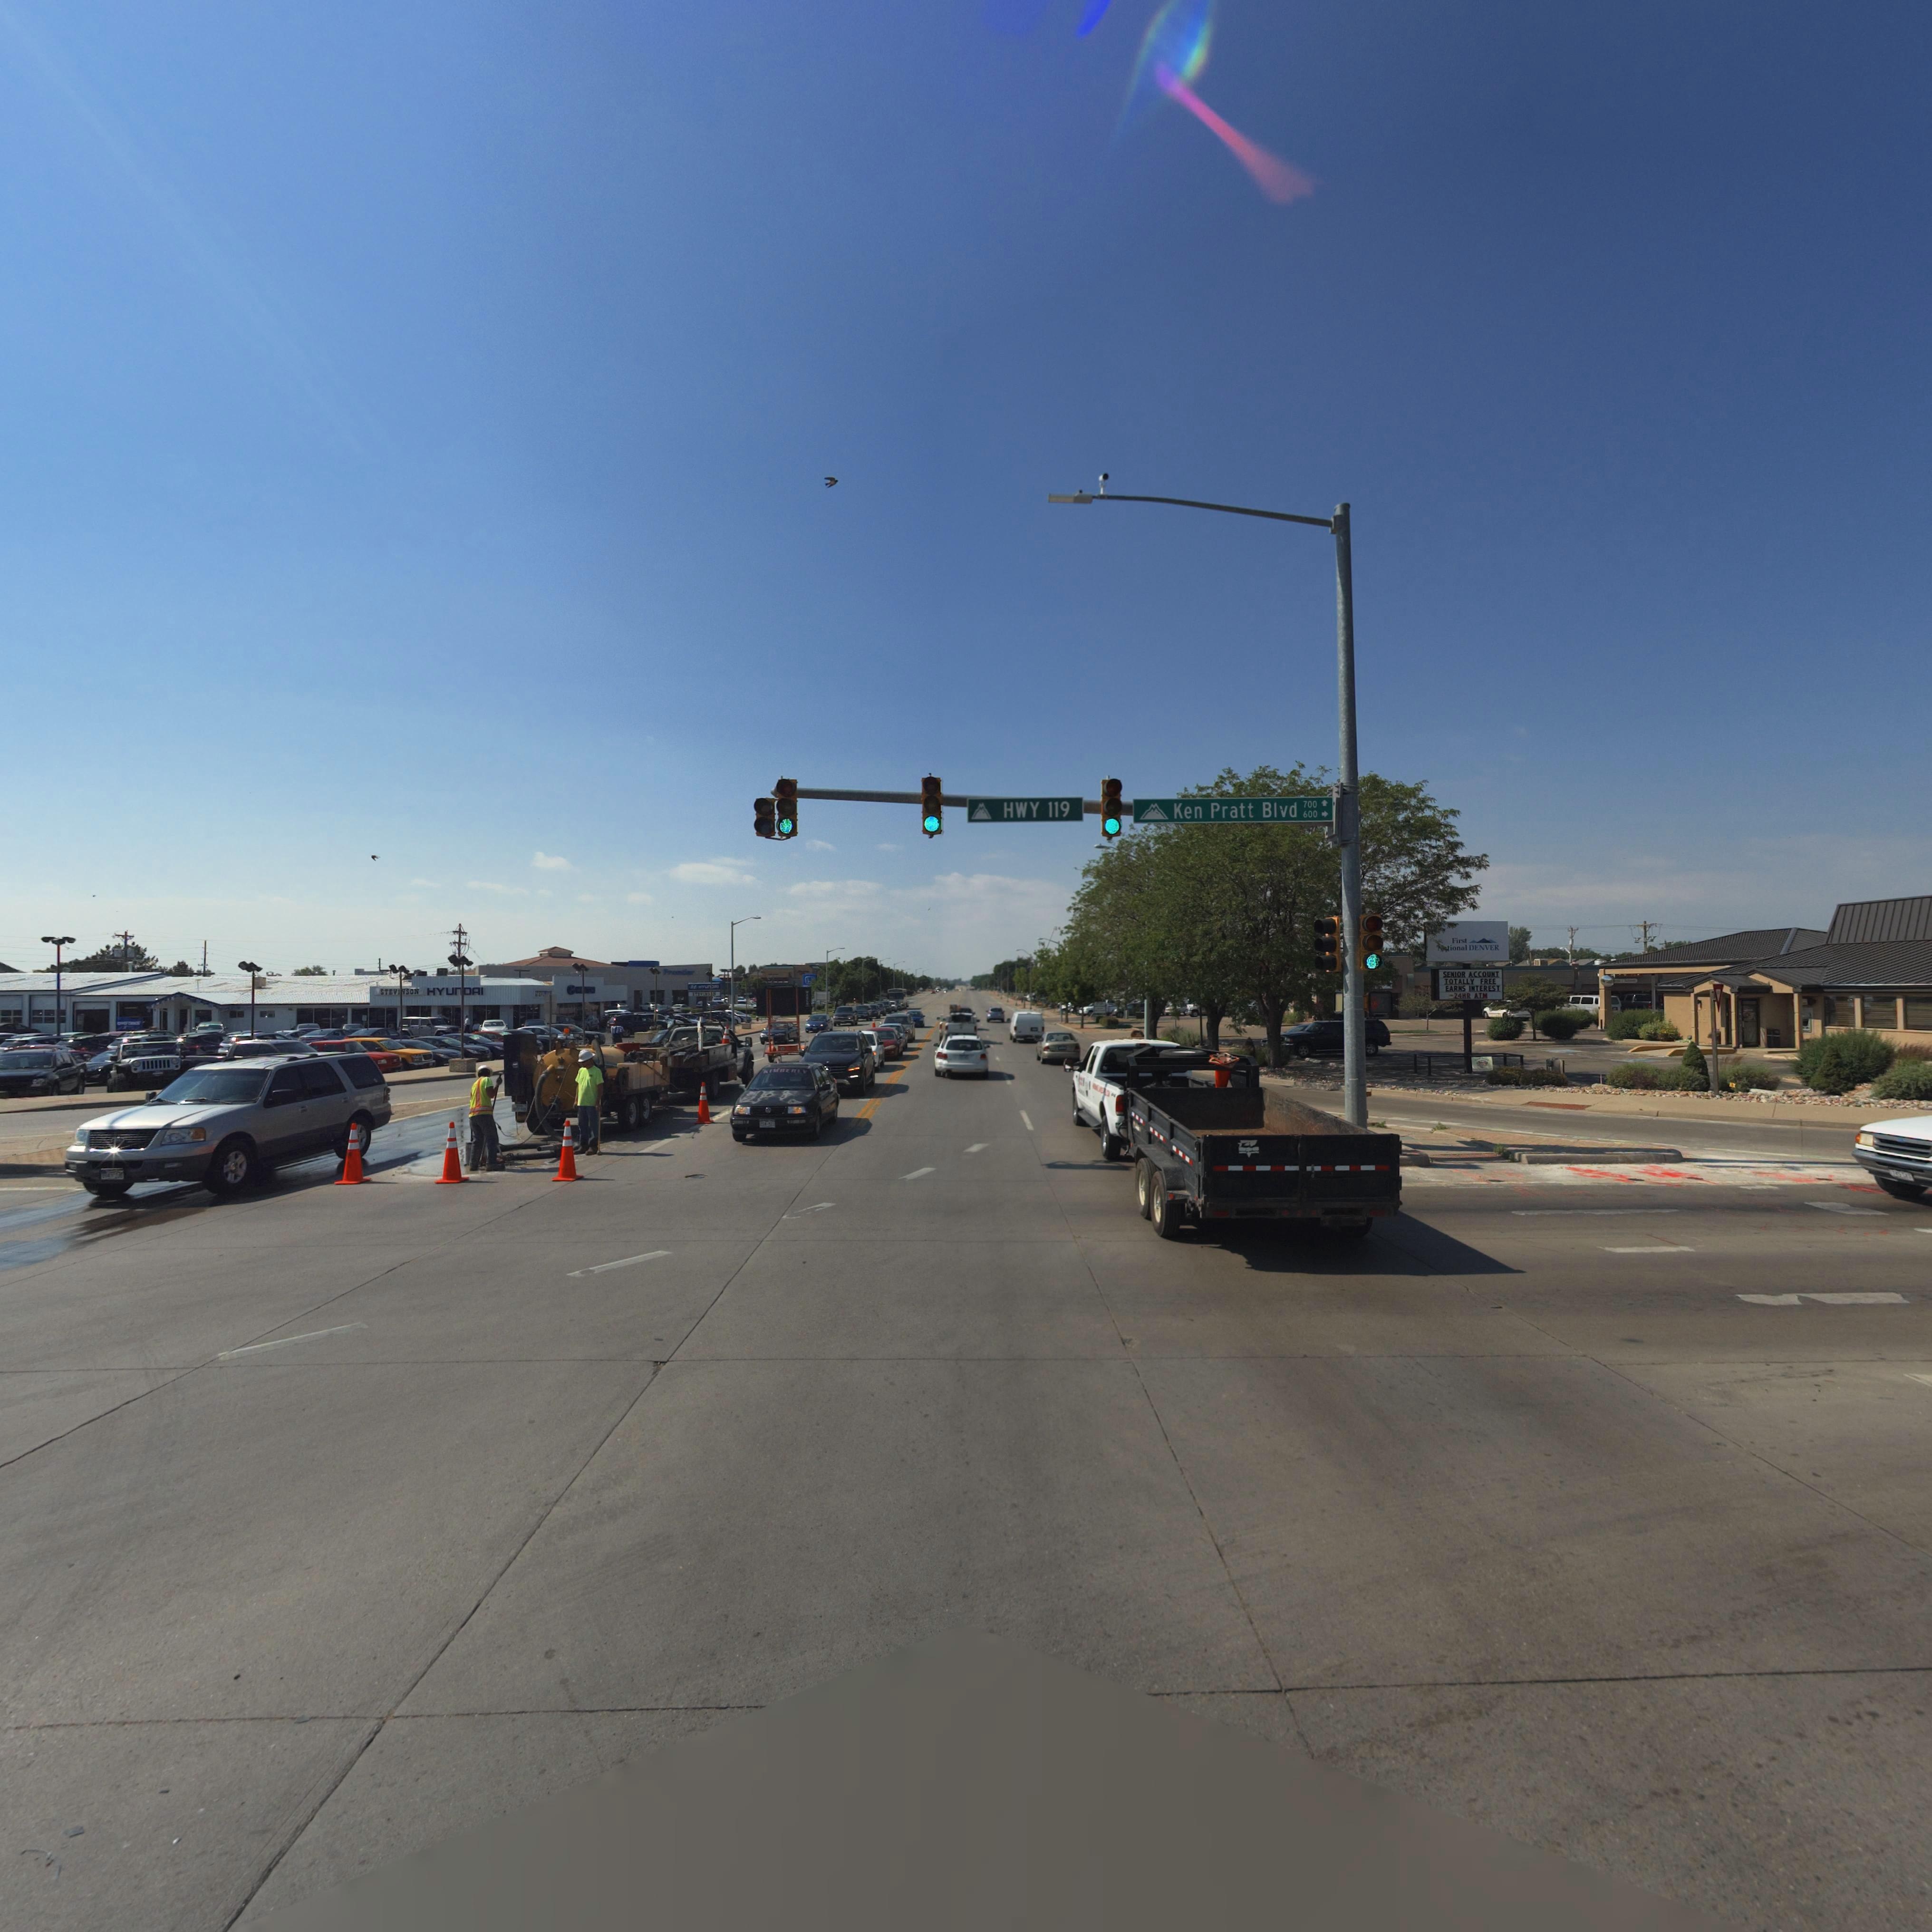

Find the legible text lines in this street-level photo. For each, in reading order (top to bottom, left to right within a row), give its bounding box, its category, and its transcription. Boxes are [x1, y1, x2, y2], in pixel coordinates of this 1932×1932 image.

[1302, 800, 1317, 808] StreetNumberRange: 700
[1003, 800, 1071, 819] StreetName: HWY 119
[1173, 802, 1297, 820] StreetName: Ken Pratt Blvd
[1303, 810, 1329, 818] StreetNumberRange: 600->
[1452, 937, 1467, 943] BusinessName: First
[1437, 944, 1500, 951] BusinessName: ***ional DENVER
[663, 968, 696, 976] BusinessName: Fro*ti*r
[698, 985, 719, 989] BusinessName: HYUn*AI
[380, 988, 419, 995] BusinessName: STEVINSON
[426, 986, 483, 996] BusinessName: HYUnDAI
[692, 992, 716, 996] BusinessName: ST**I***N